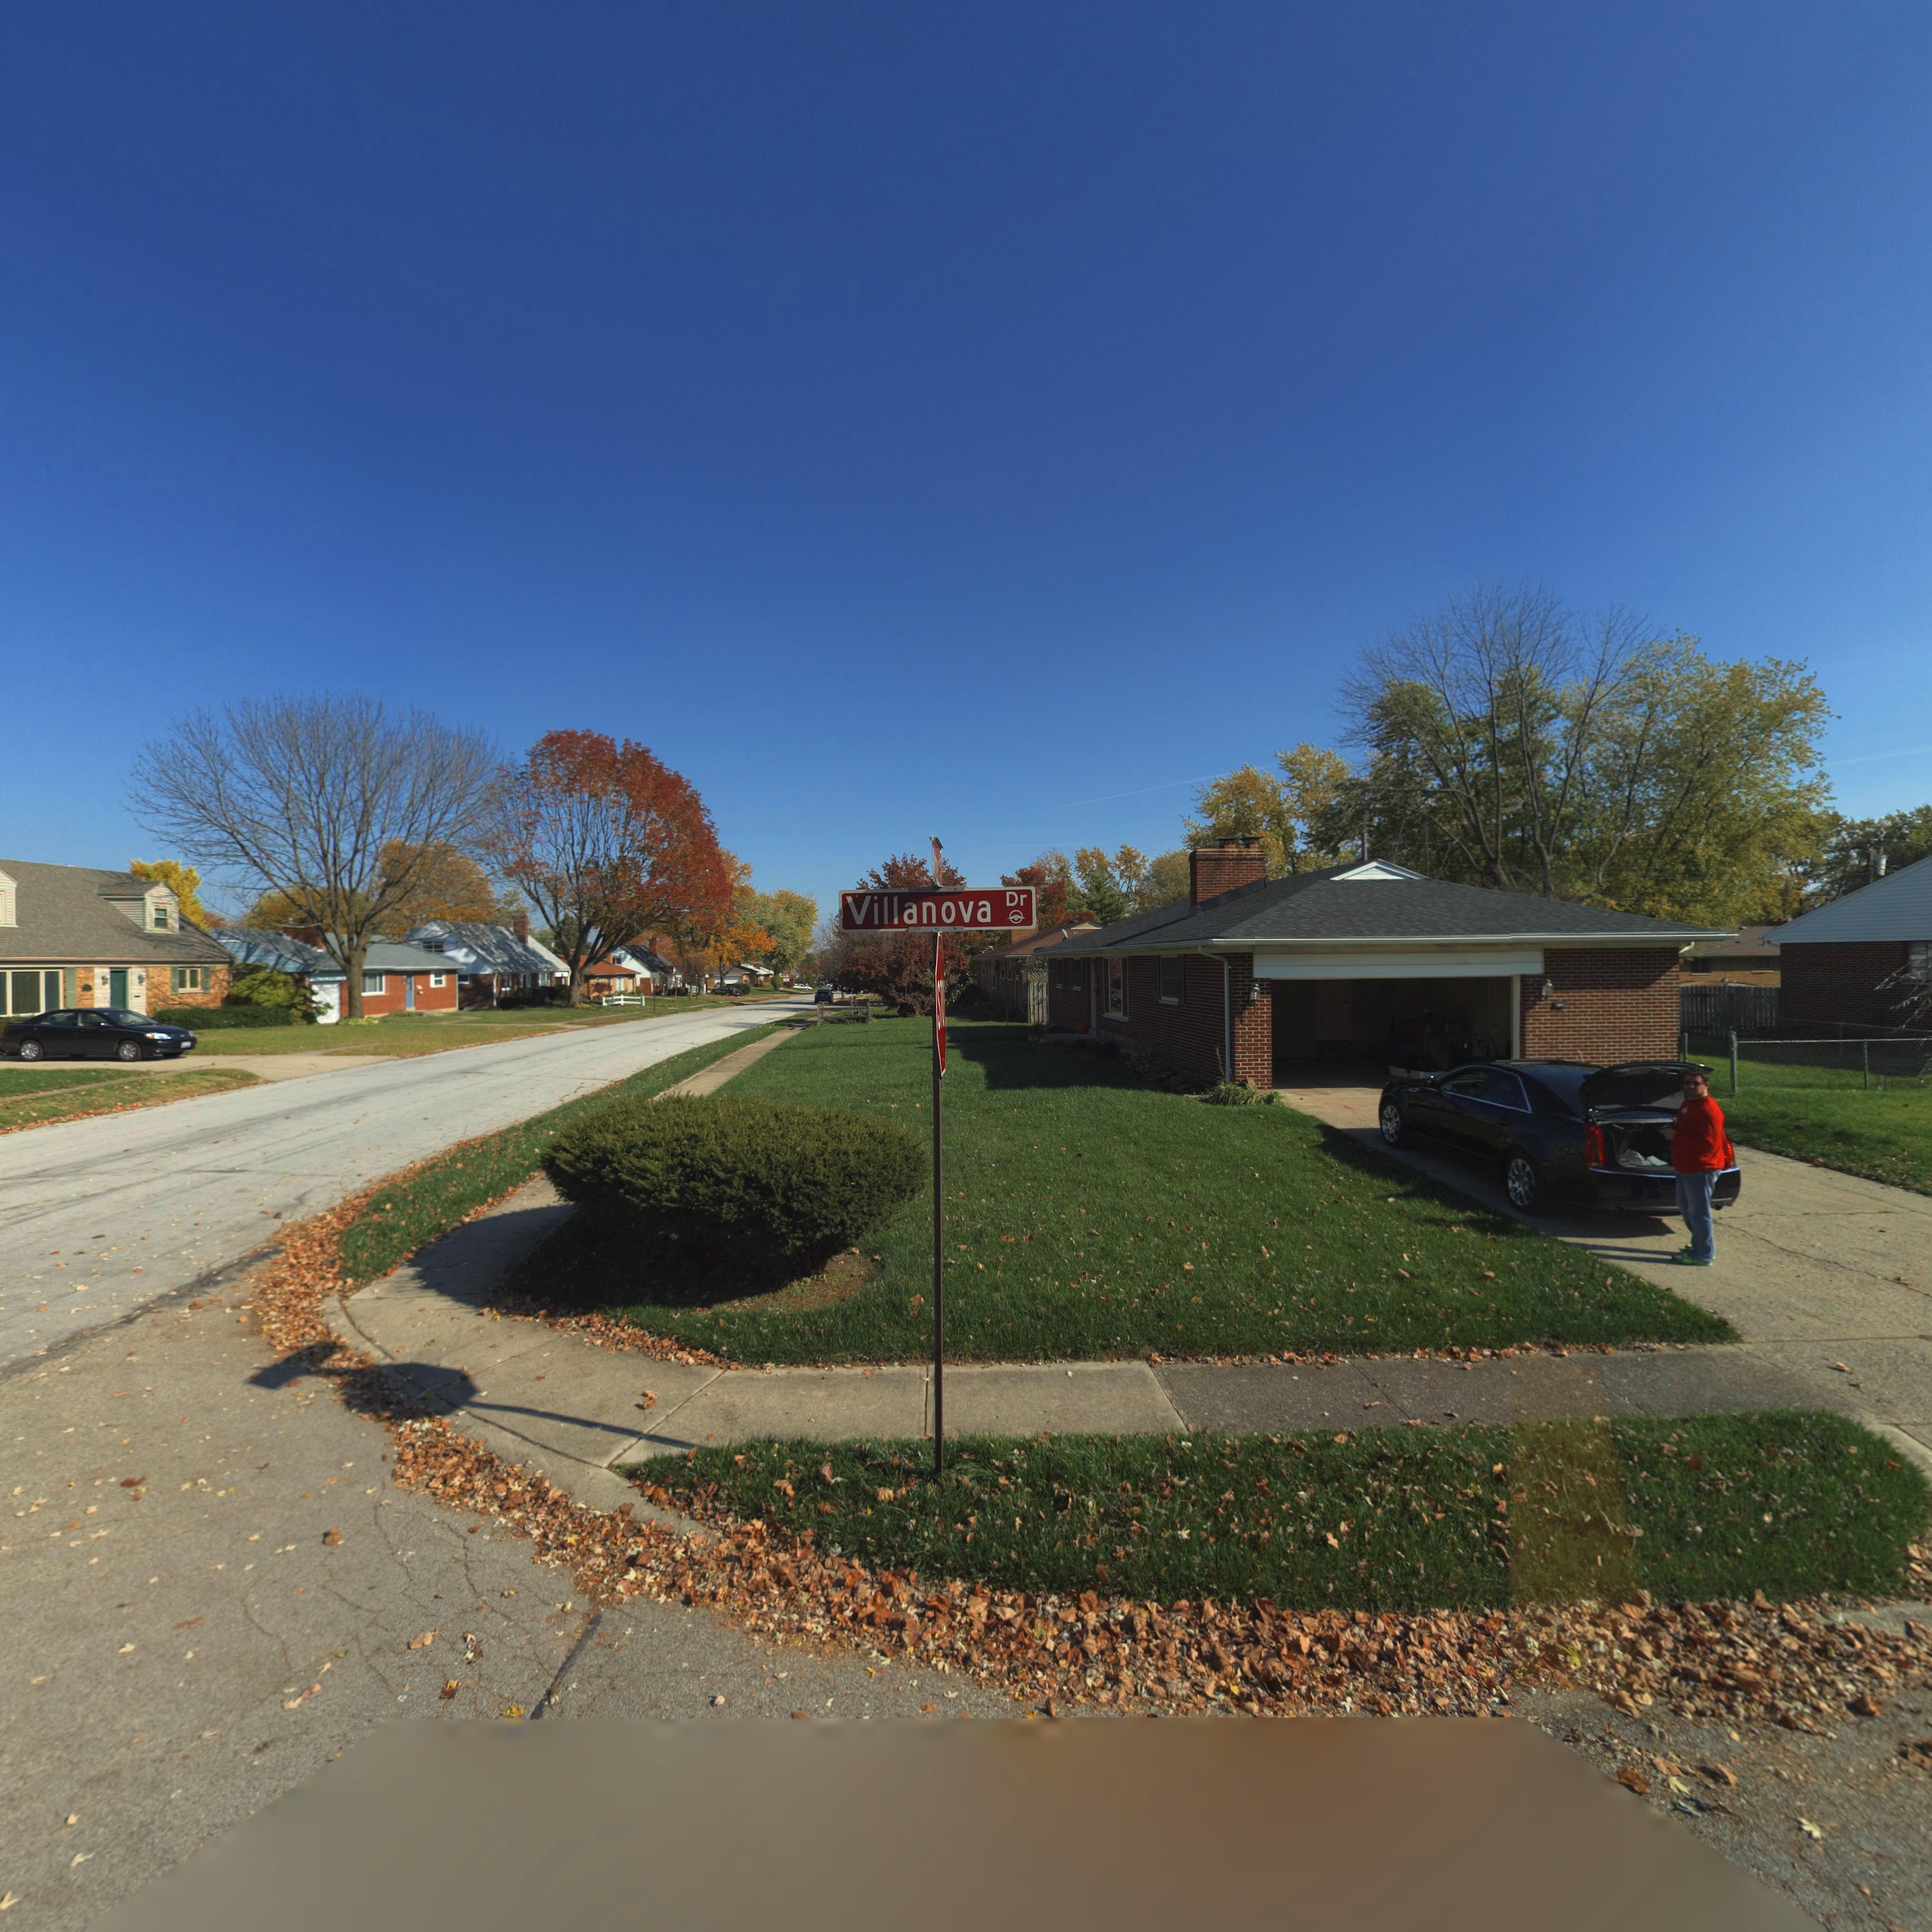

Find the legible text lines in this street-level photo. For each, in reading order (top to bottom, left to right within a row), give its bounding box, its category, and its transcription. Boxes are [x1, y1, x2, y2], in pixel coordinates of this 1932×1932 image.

[845, 890, 1027, 925] StreetName: Villanova Dr
[937, 980, 941, 1031] None: S